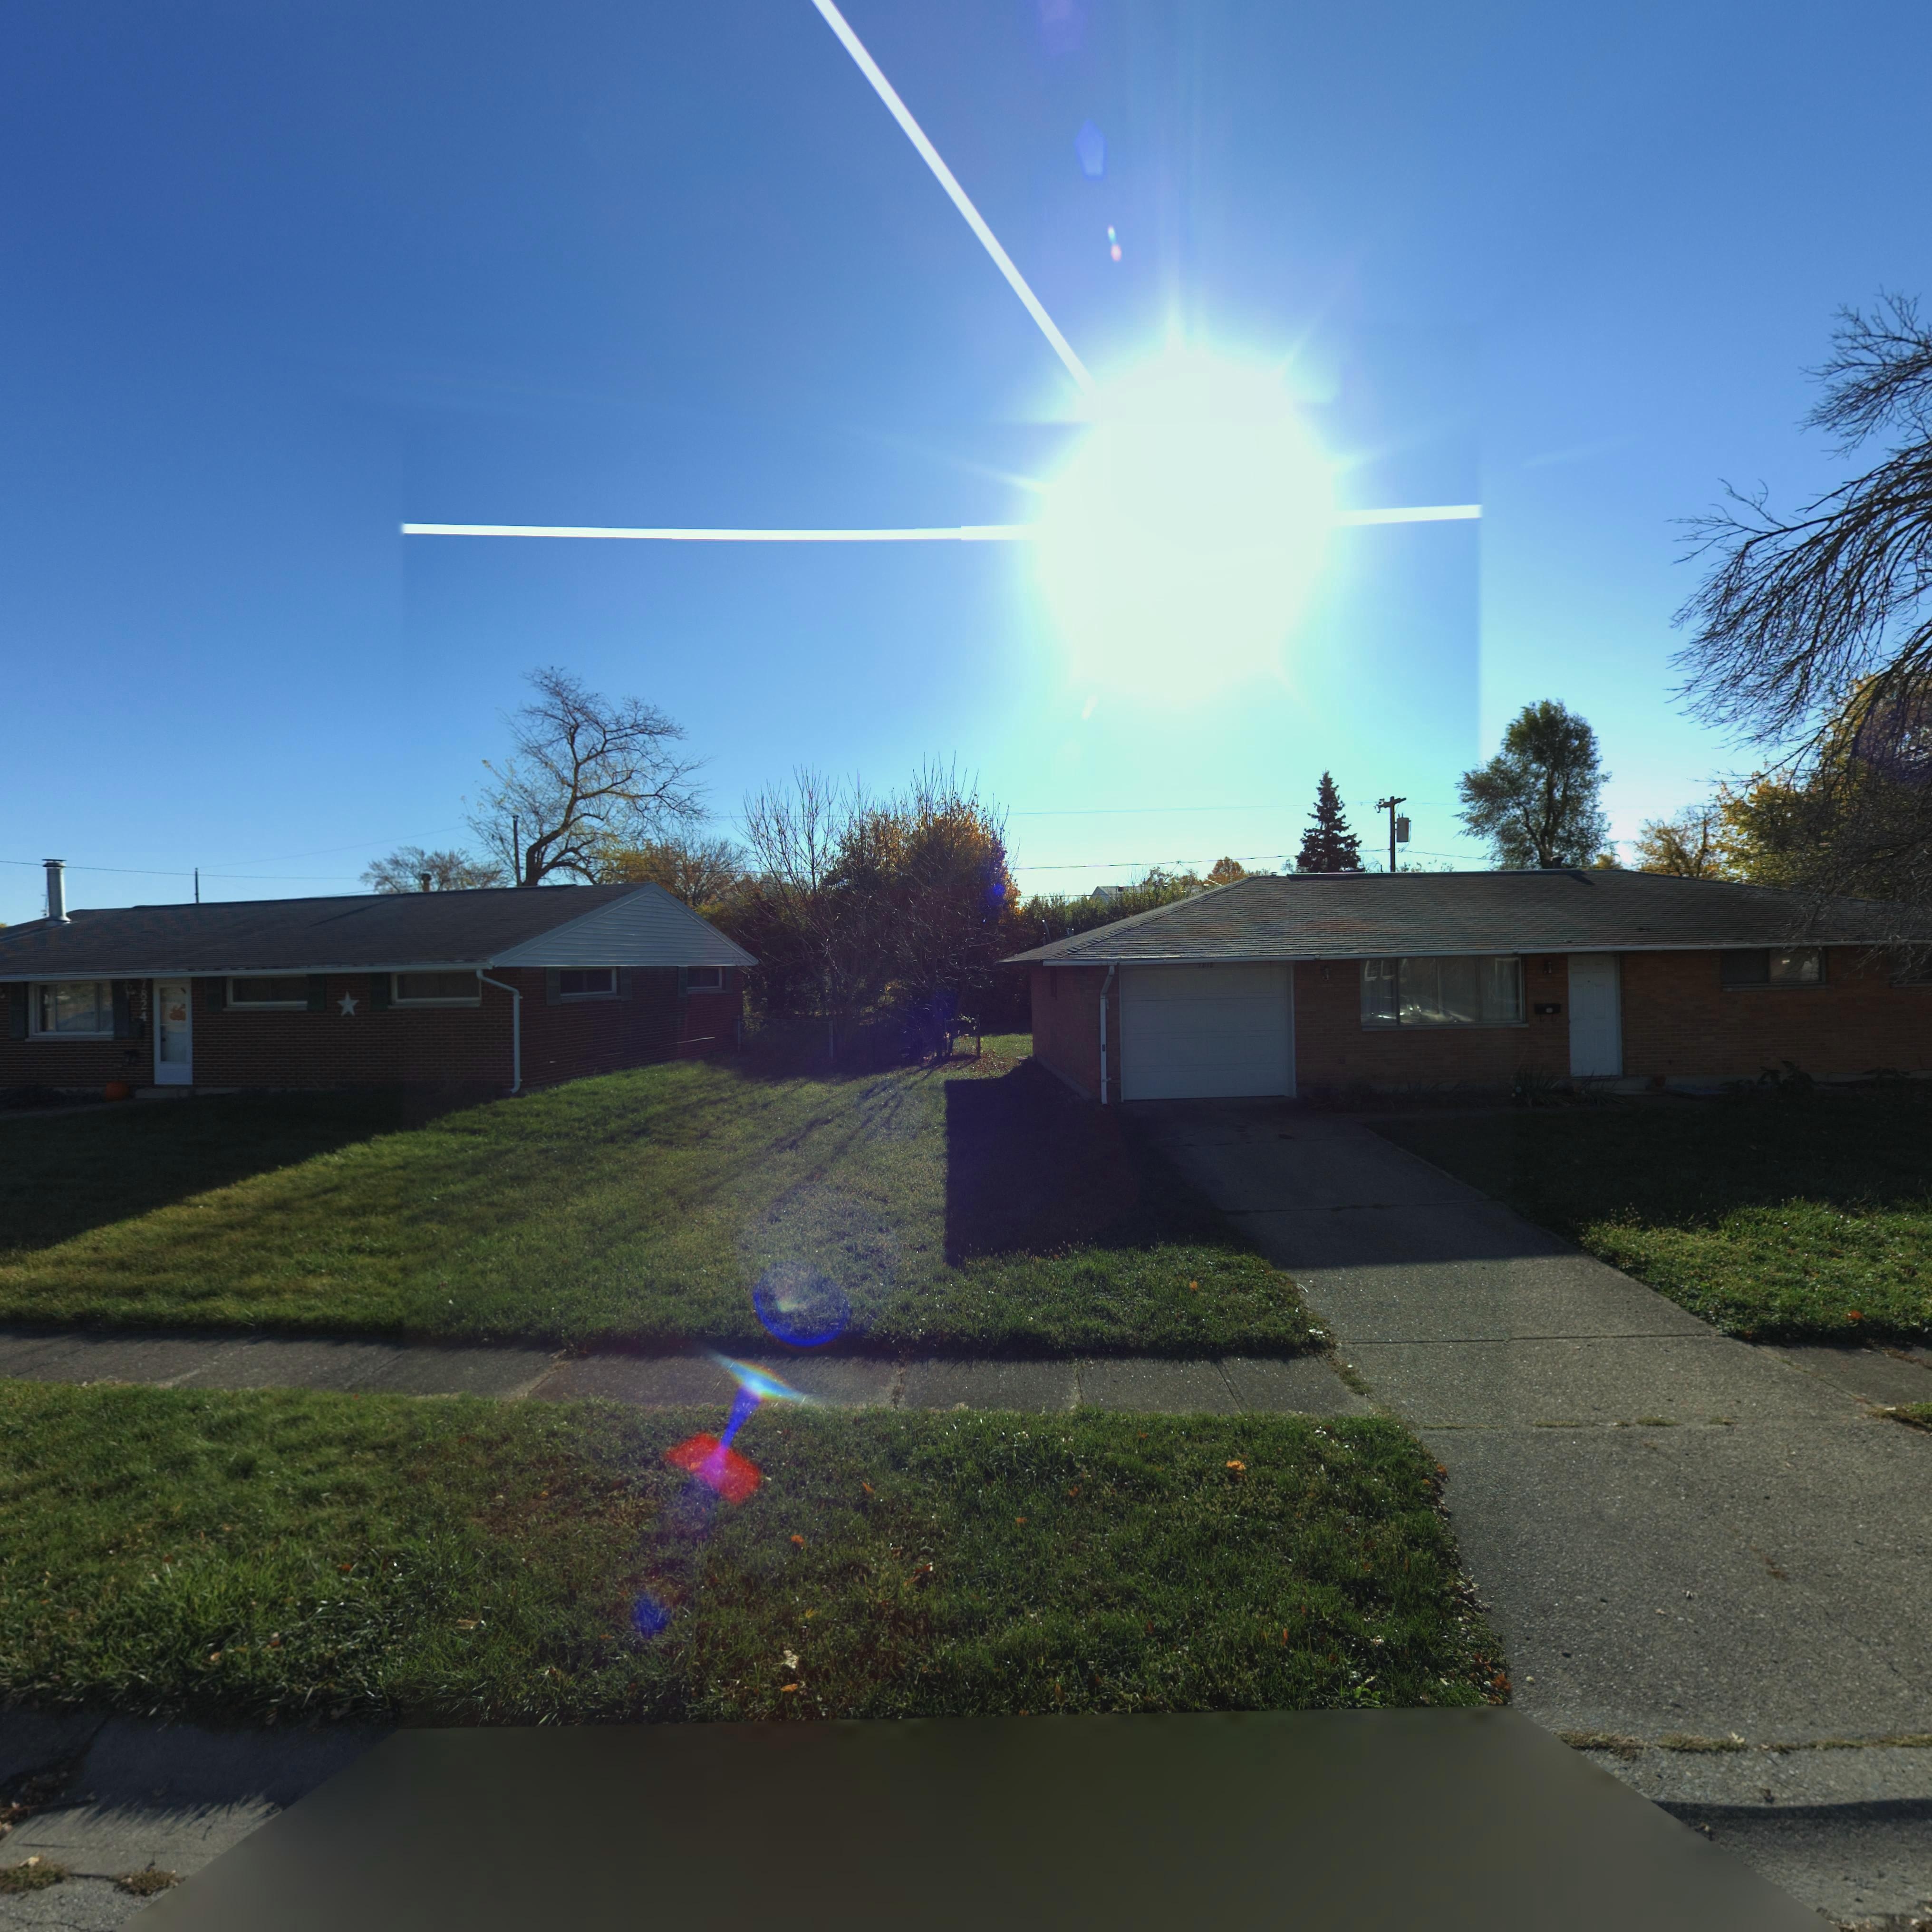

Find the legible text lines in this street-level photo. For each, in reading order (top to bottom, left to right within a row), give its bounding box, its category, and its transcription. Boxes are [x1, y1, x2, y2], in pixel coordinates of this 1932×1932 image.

[1195, 961, 1215, 969] StreetNumber: **1*
[138, 977, 149, 1024] StreetNumber: 7824